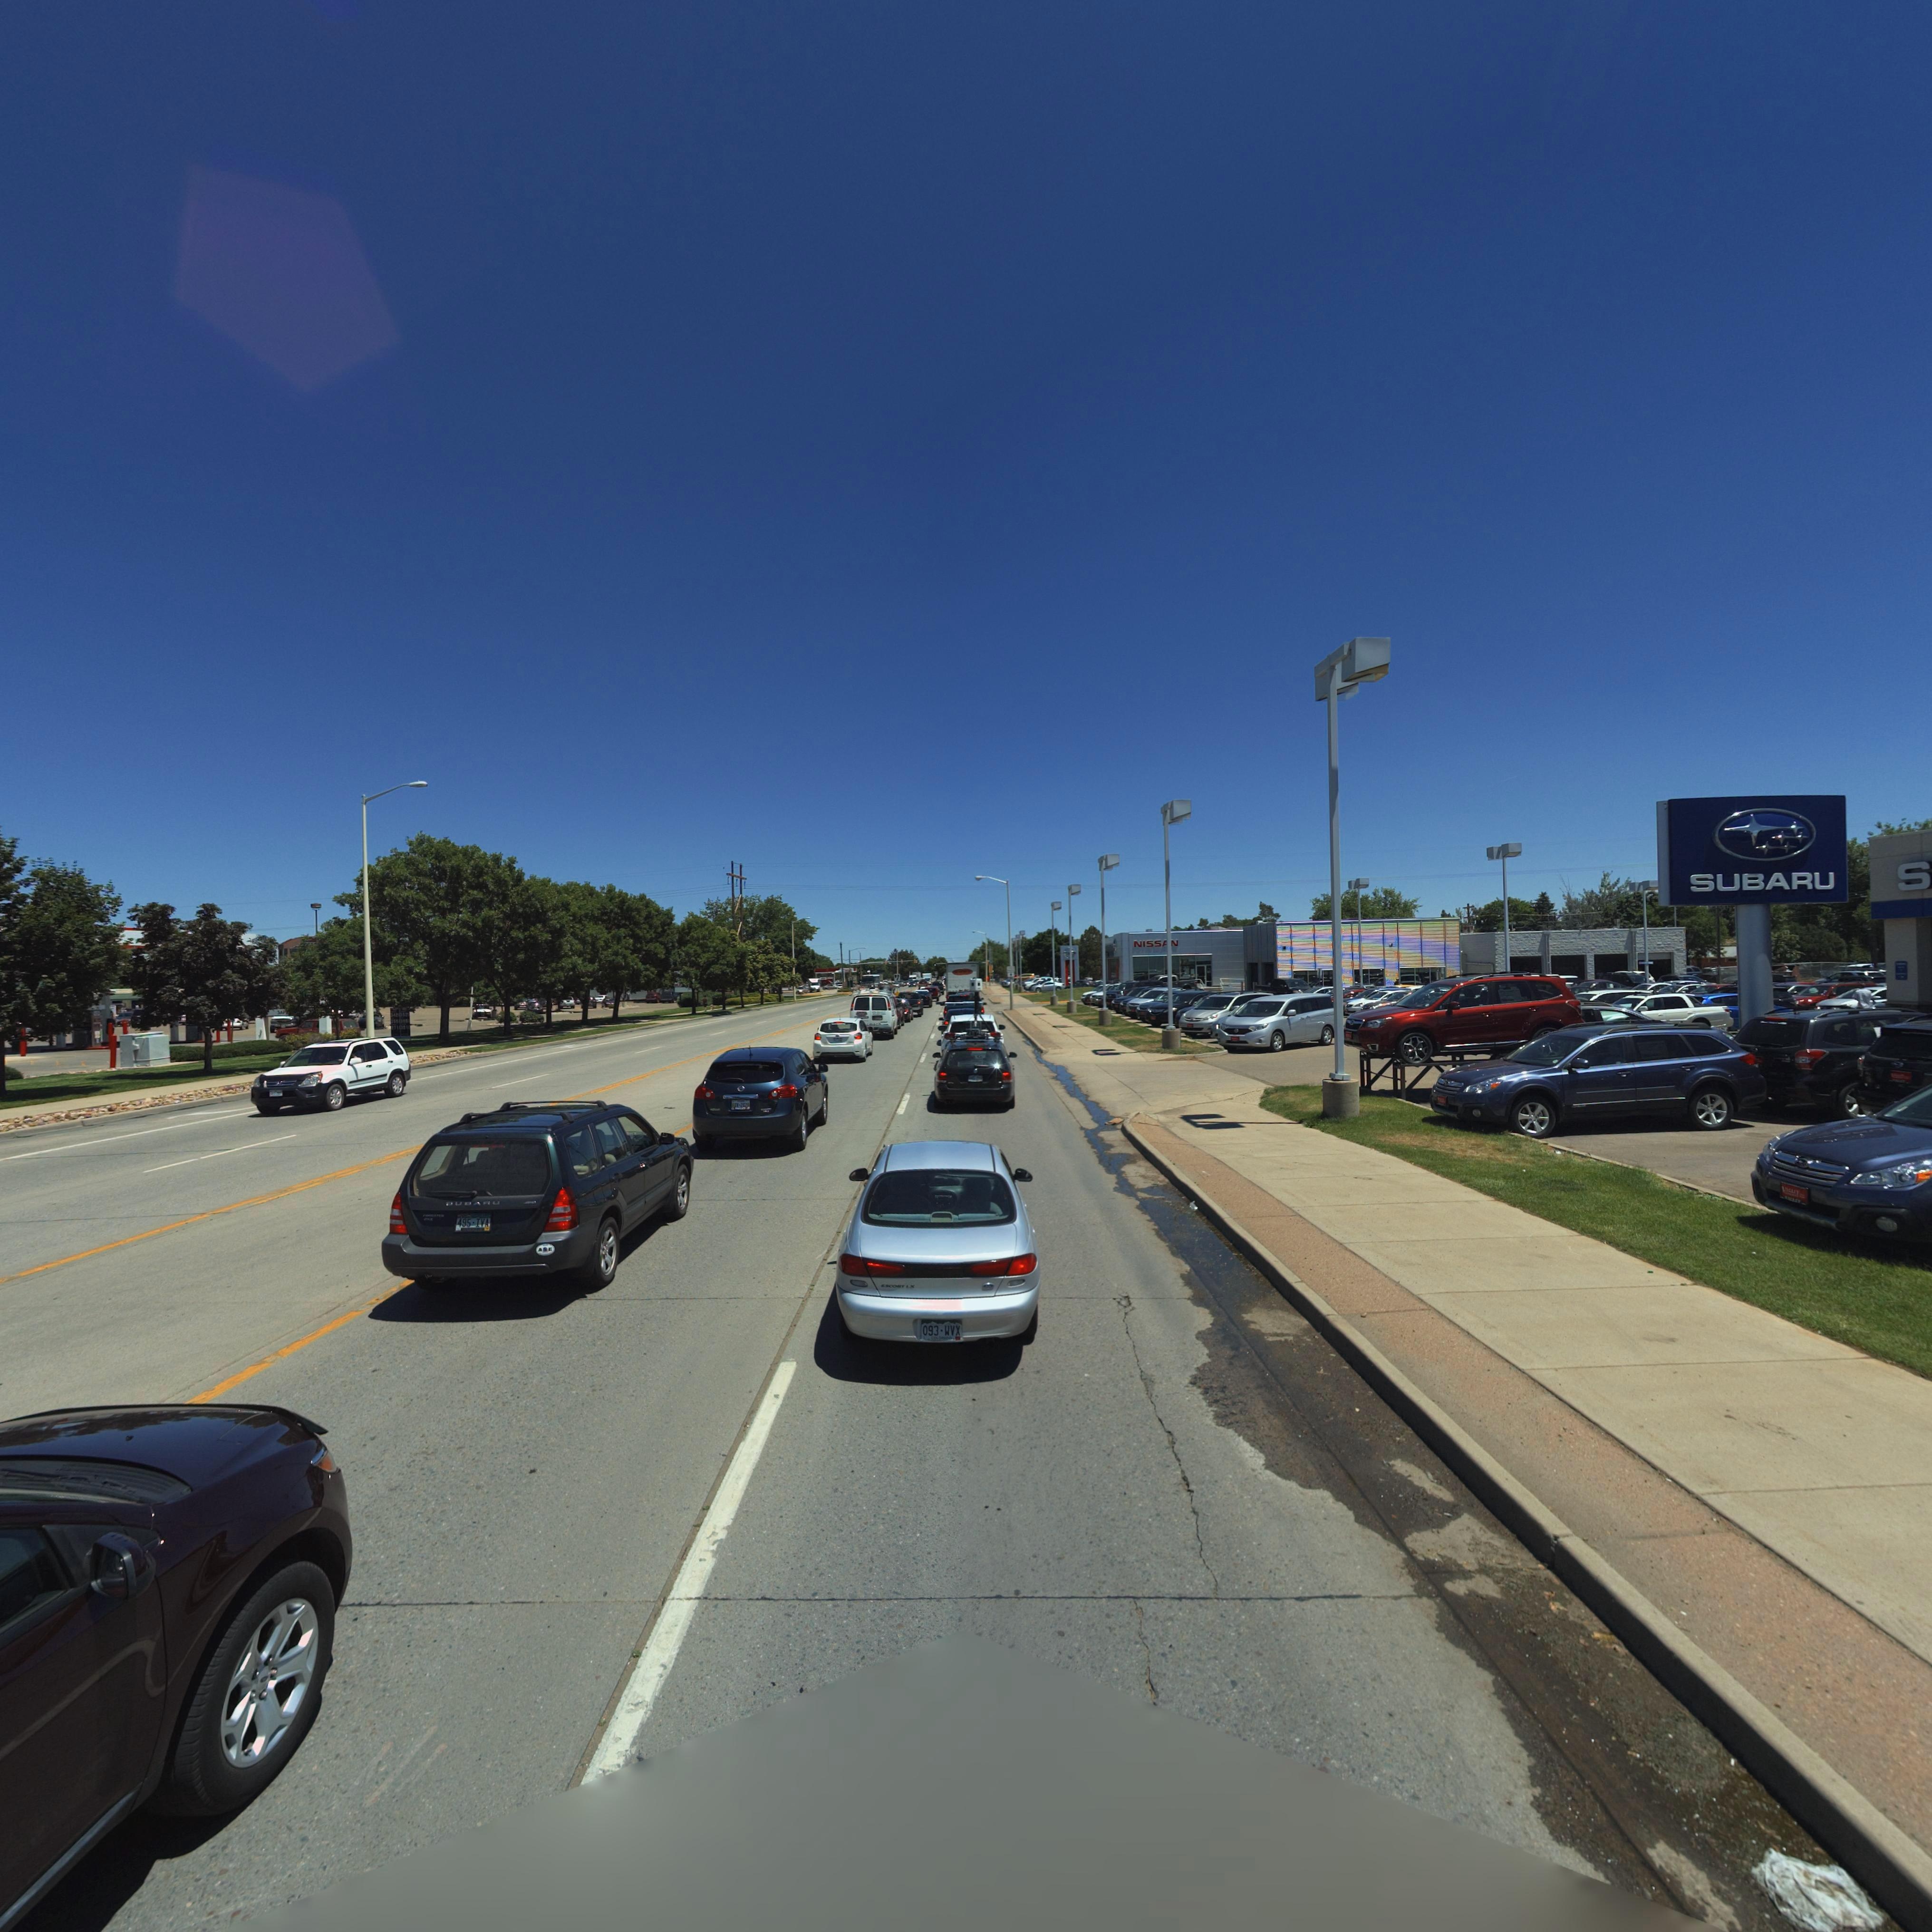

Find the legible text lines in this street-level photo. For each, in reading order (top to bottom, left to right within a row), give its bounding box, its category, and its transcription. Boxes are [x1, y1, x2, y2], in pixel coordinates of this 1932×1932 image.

[1689, 870, 1835, 893] BusinessName: SUBARU
[1897, 860, 1931, 891] BusinessName: S
[1133, 939, 1178, 947] BusinessName: NISS*N